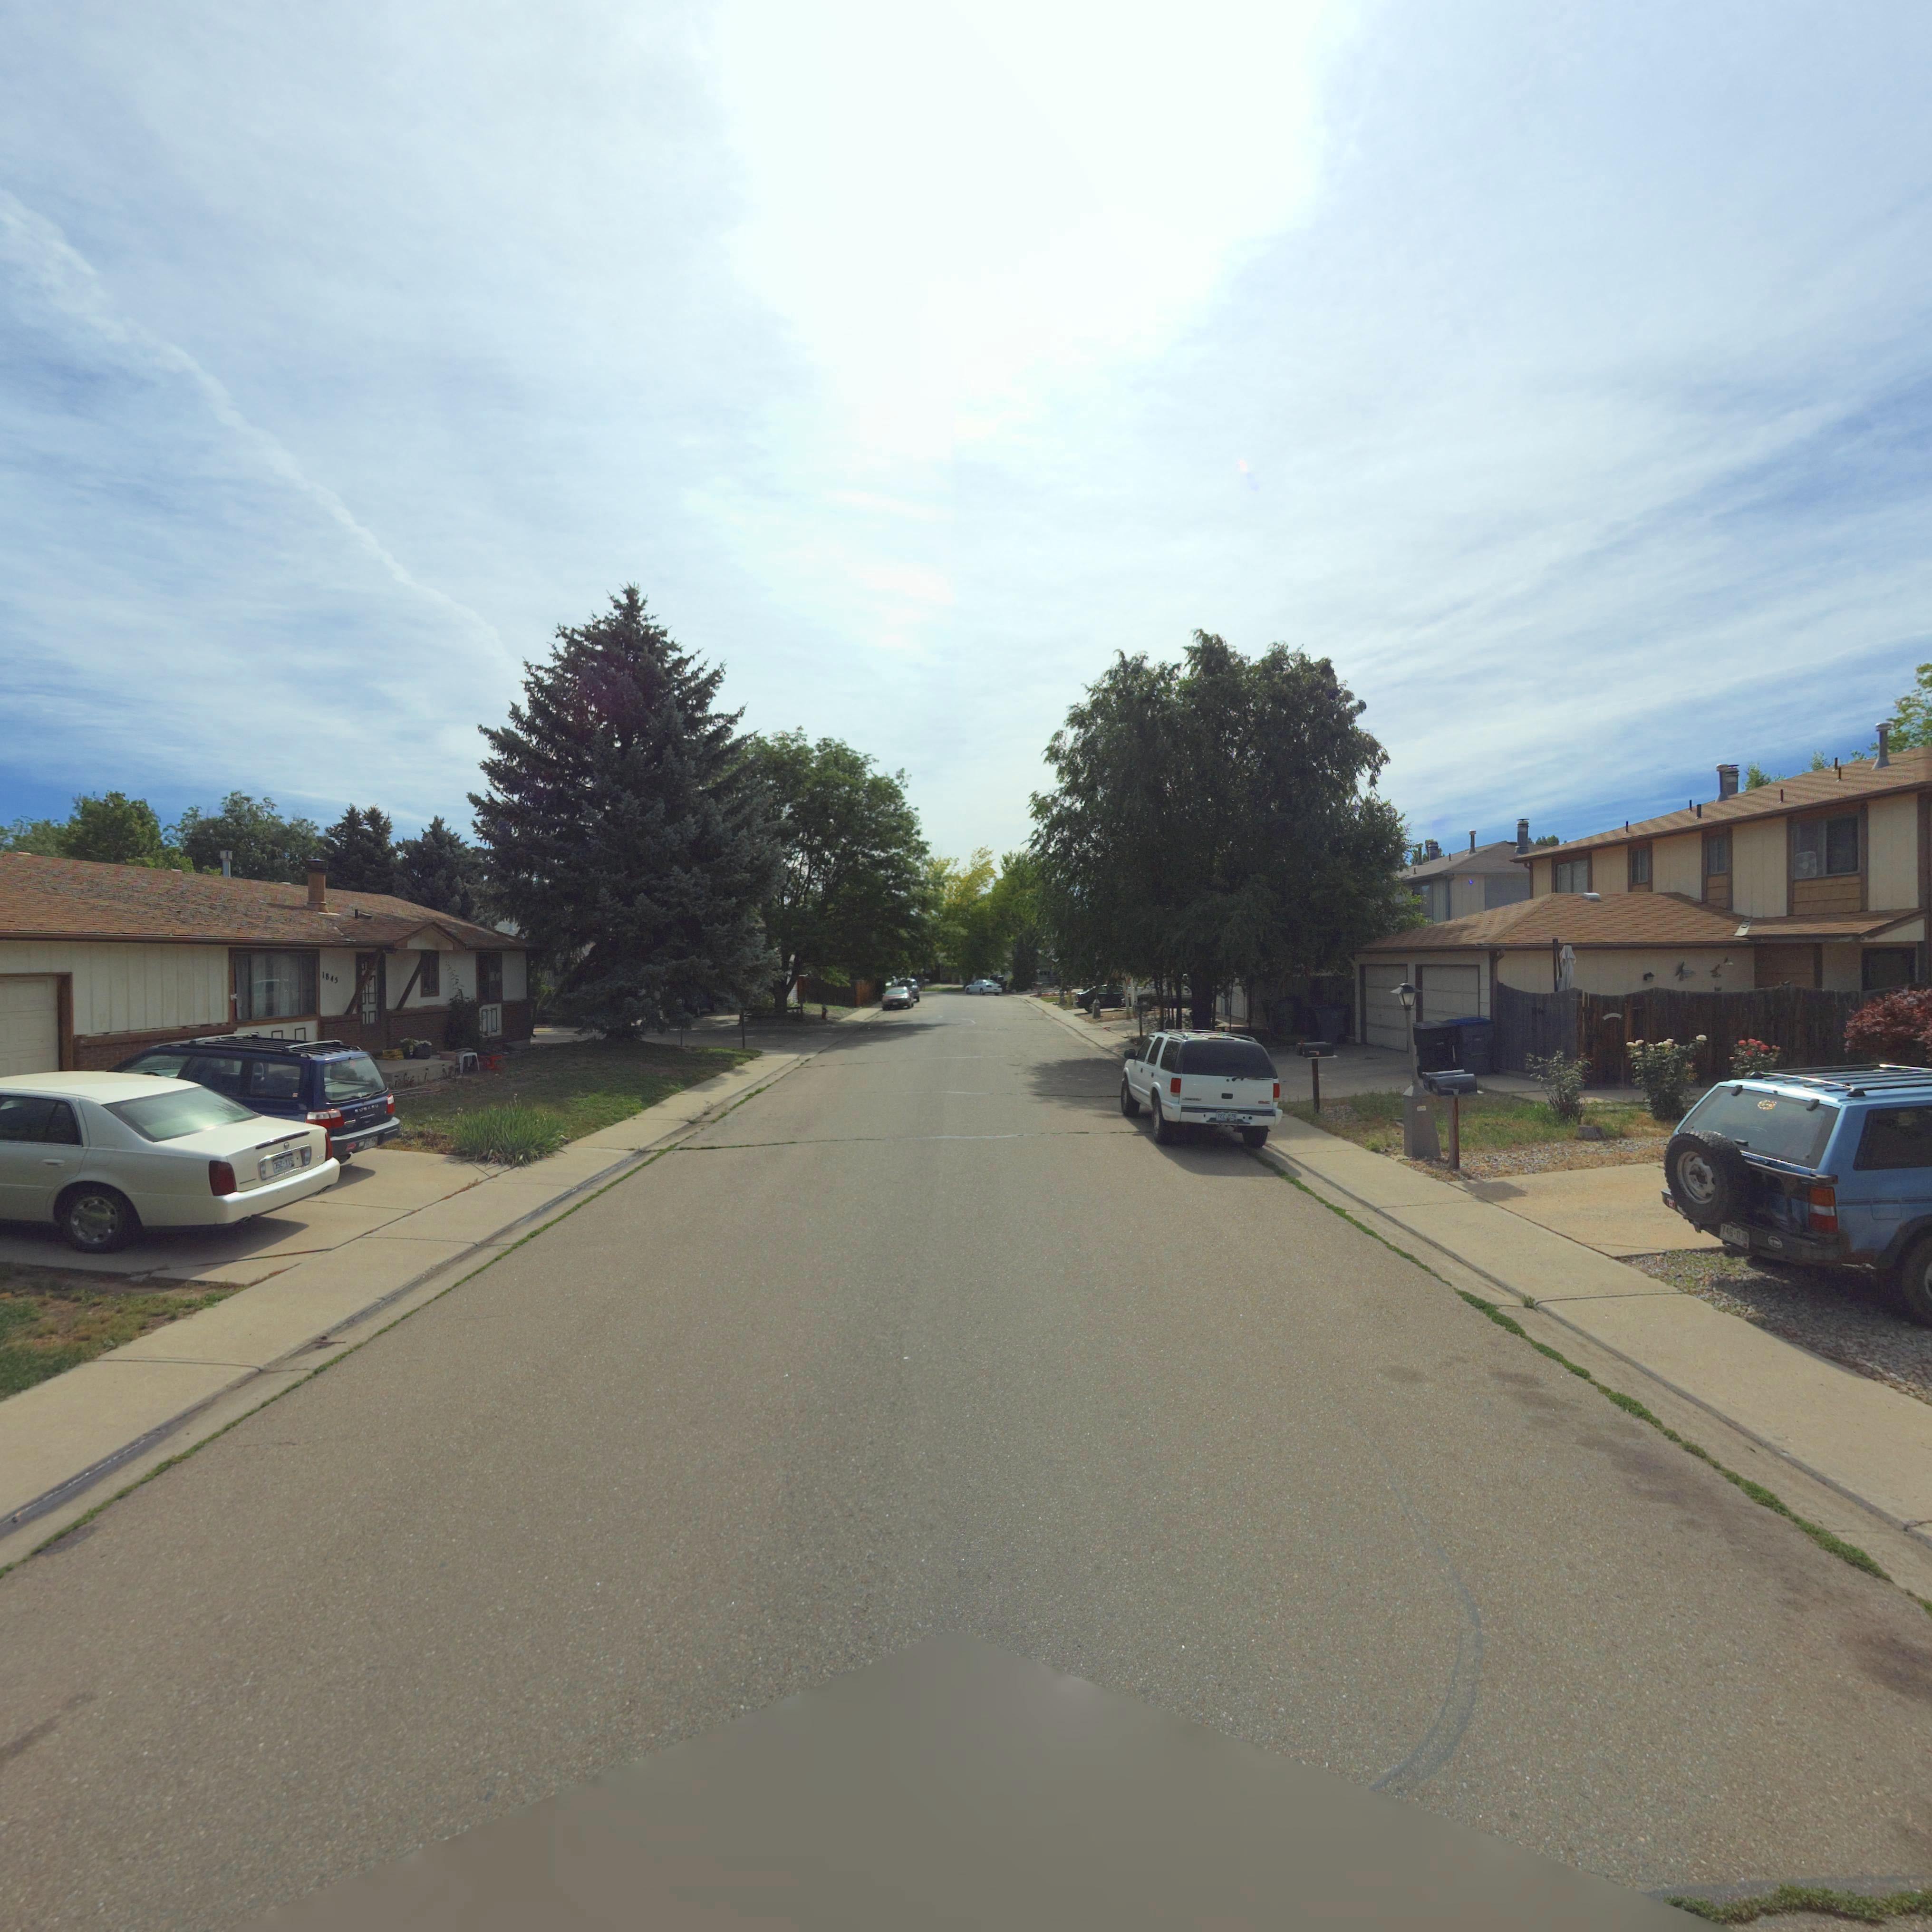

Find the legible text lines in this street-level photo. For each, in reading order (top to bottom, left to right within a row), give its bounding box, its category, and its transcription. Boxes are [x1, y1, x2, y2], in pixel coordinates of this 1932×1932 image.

[322, 970, 338, 984] StreetNumber: 1845